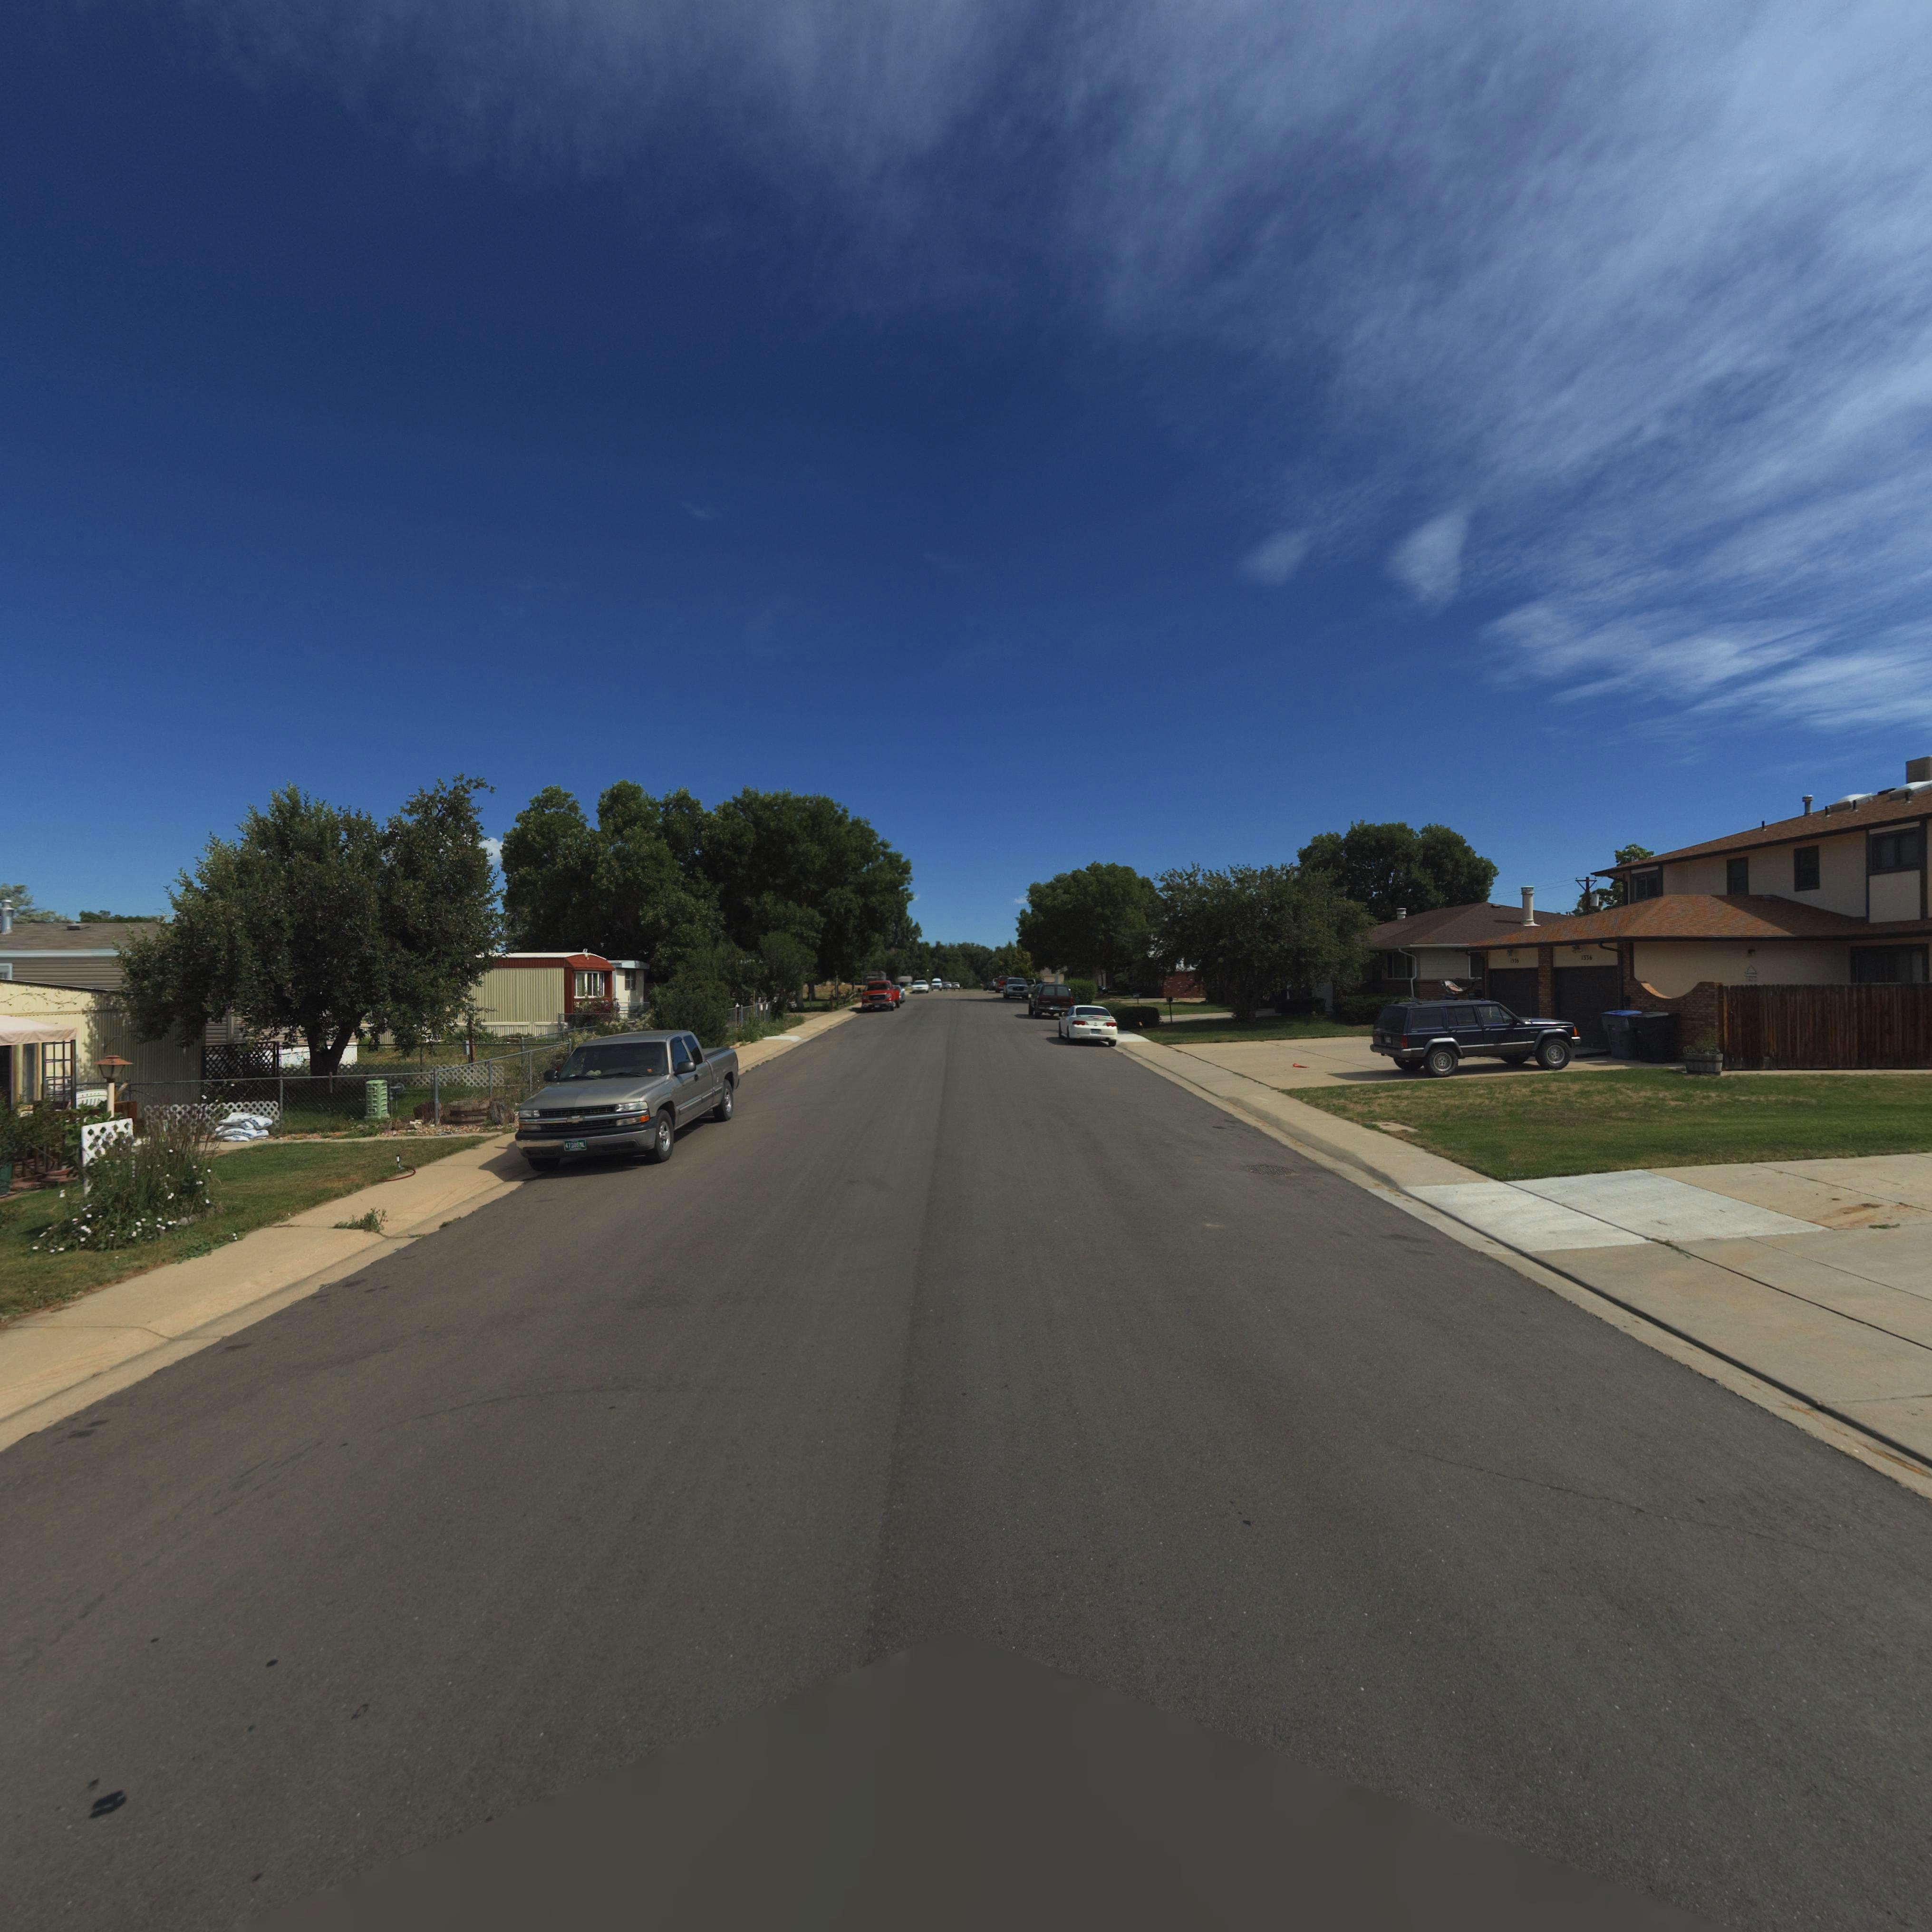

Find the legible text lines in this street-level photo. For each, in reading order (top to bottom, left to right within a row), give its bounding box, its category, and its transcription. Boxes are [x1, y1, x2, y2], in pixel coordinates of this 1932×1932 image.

[1509, 957, 1519, 963] StreetNumber: *3**
[1581, 954, 1593, 961] StreetNumber: 133*